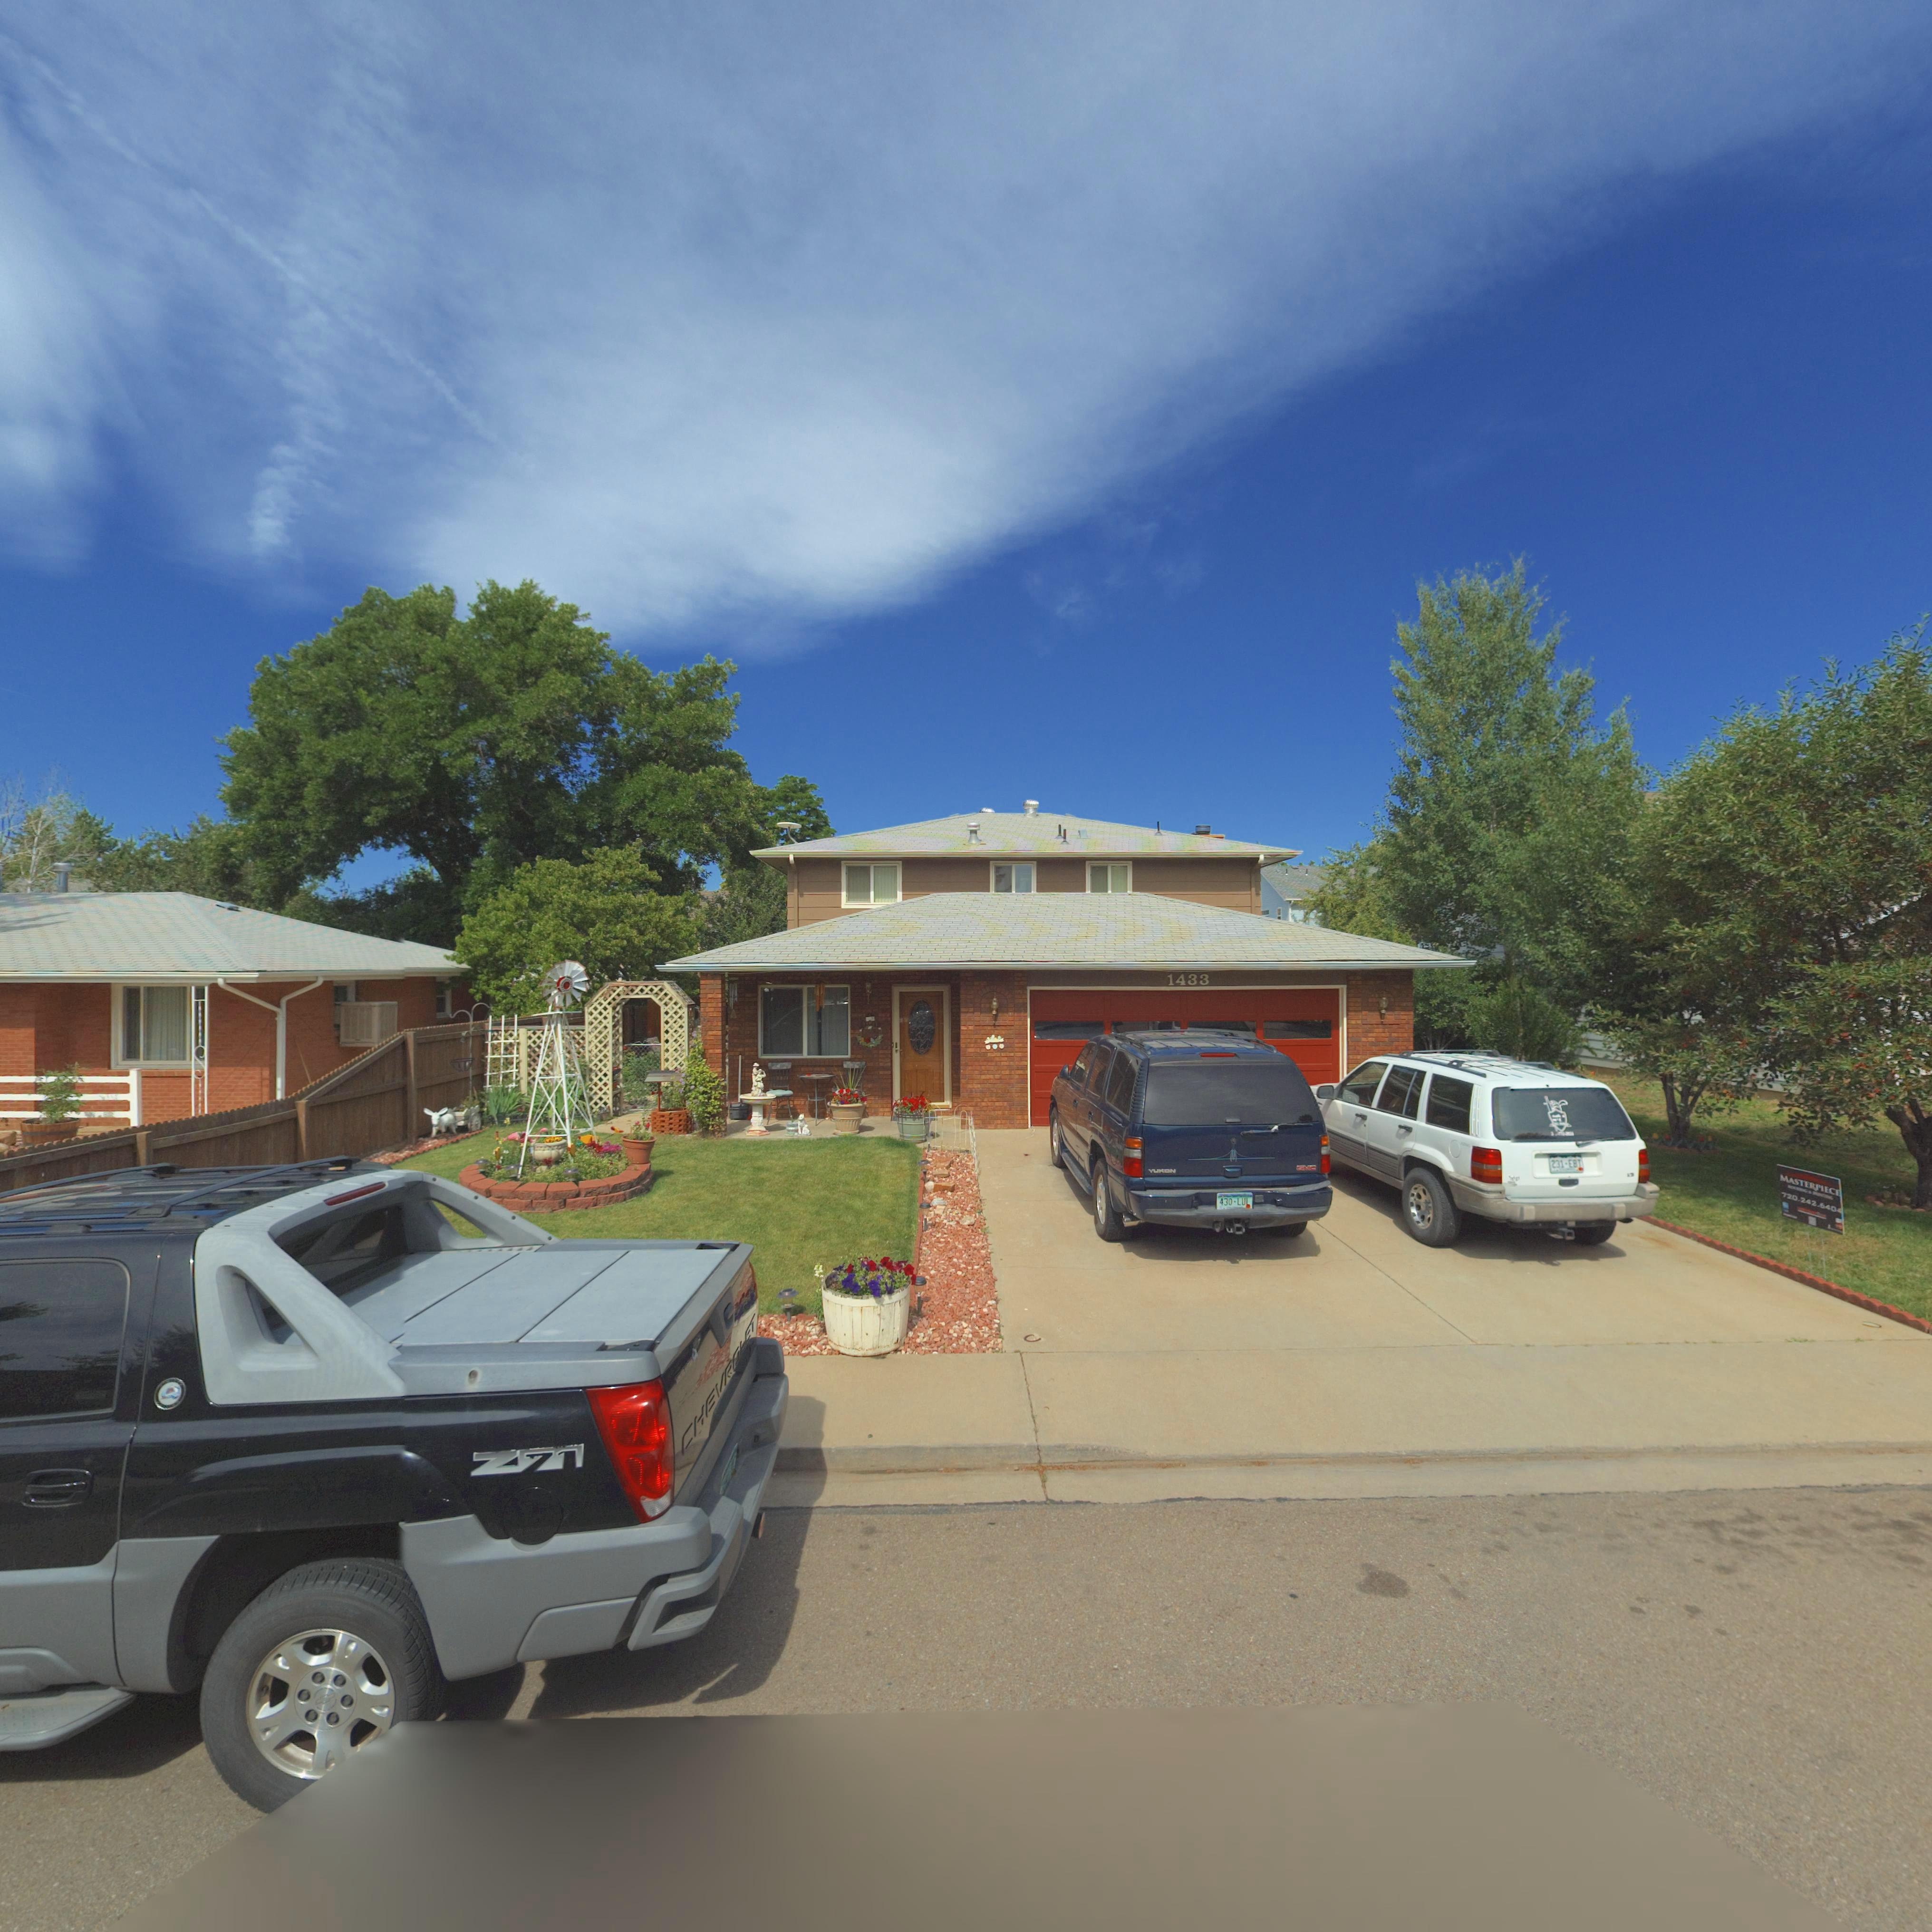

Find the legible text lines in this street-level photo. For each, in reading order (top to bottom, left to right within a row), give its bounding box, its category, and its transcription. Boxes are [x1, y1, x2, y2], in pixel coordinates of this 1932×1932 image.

[1167, 973, 1210, 986] StreetNumber: 1433